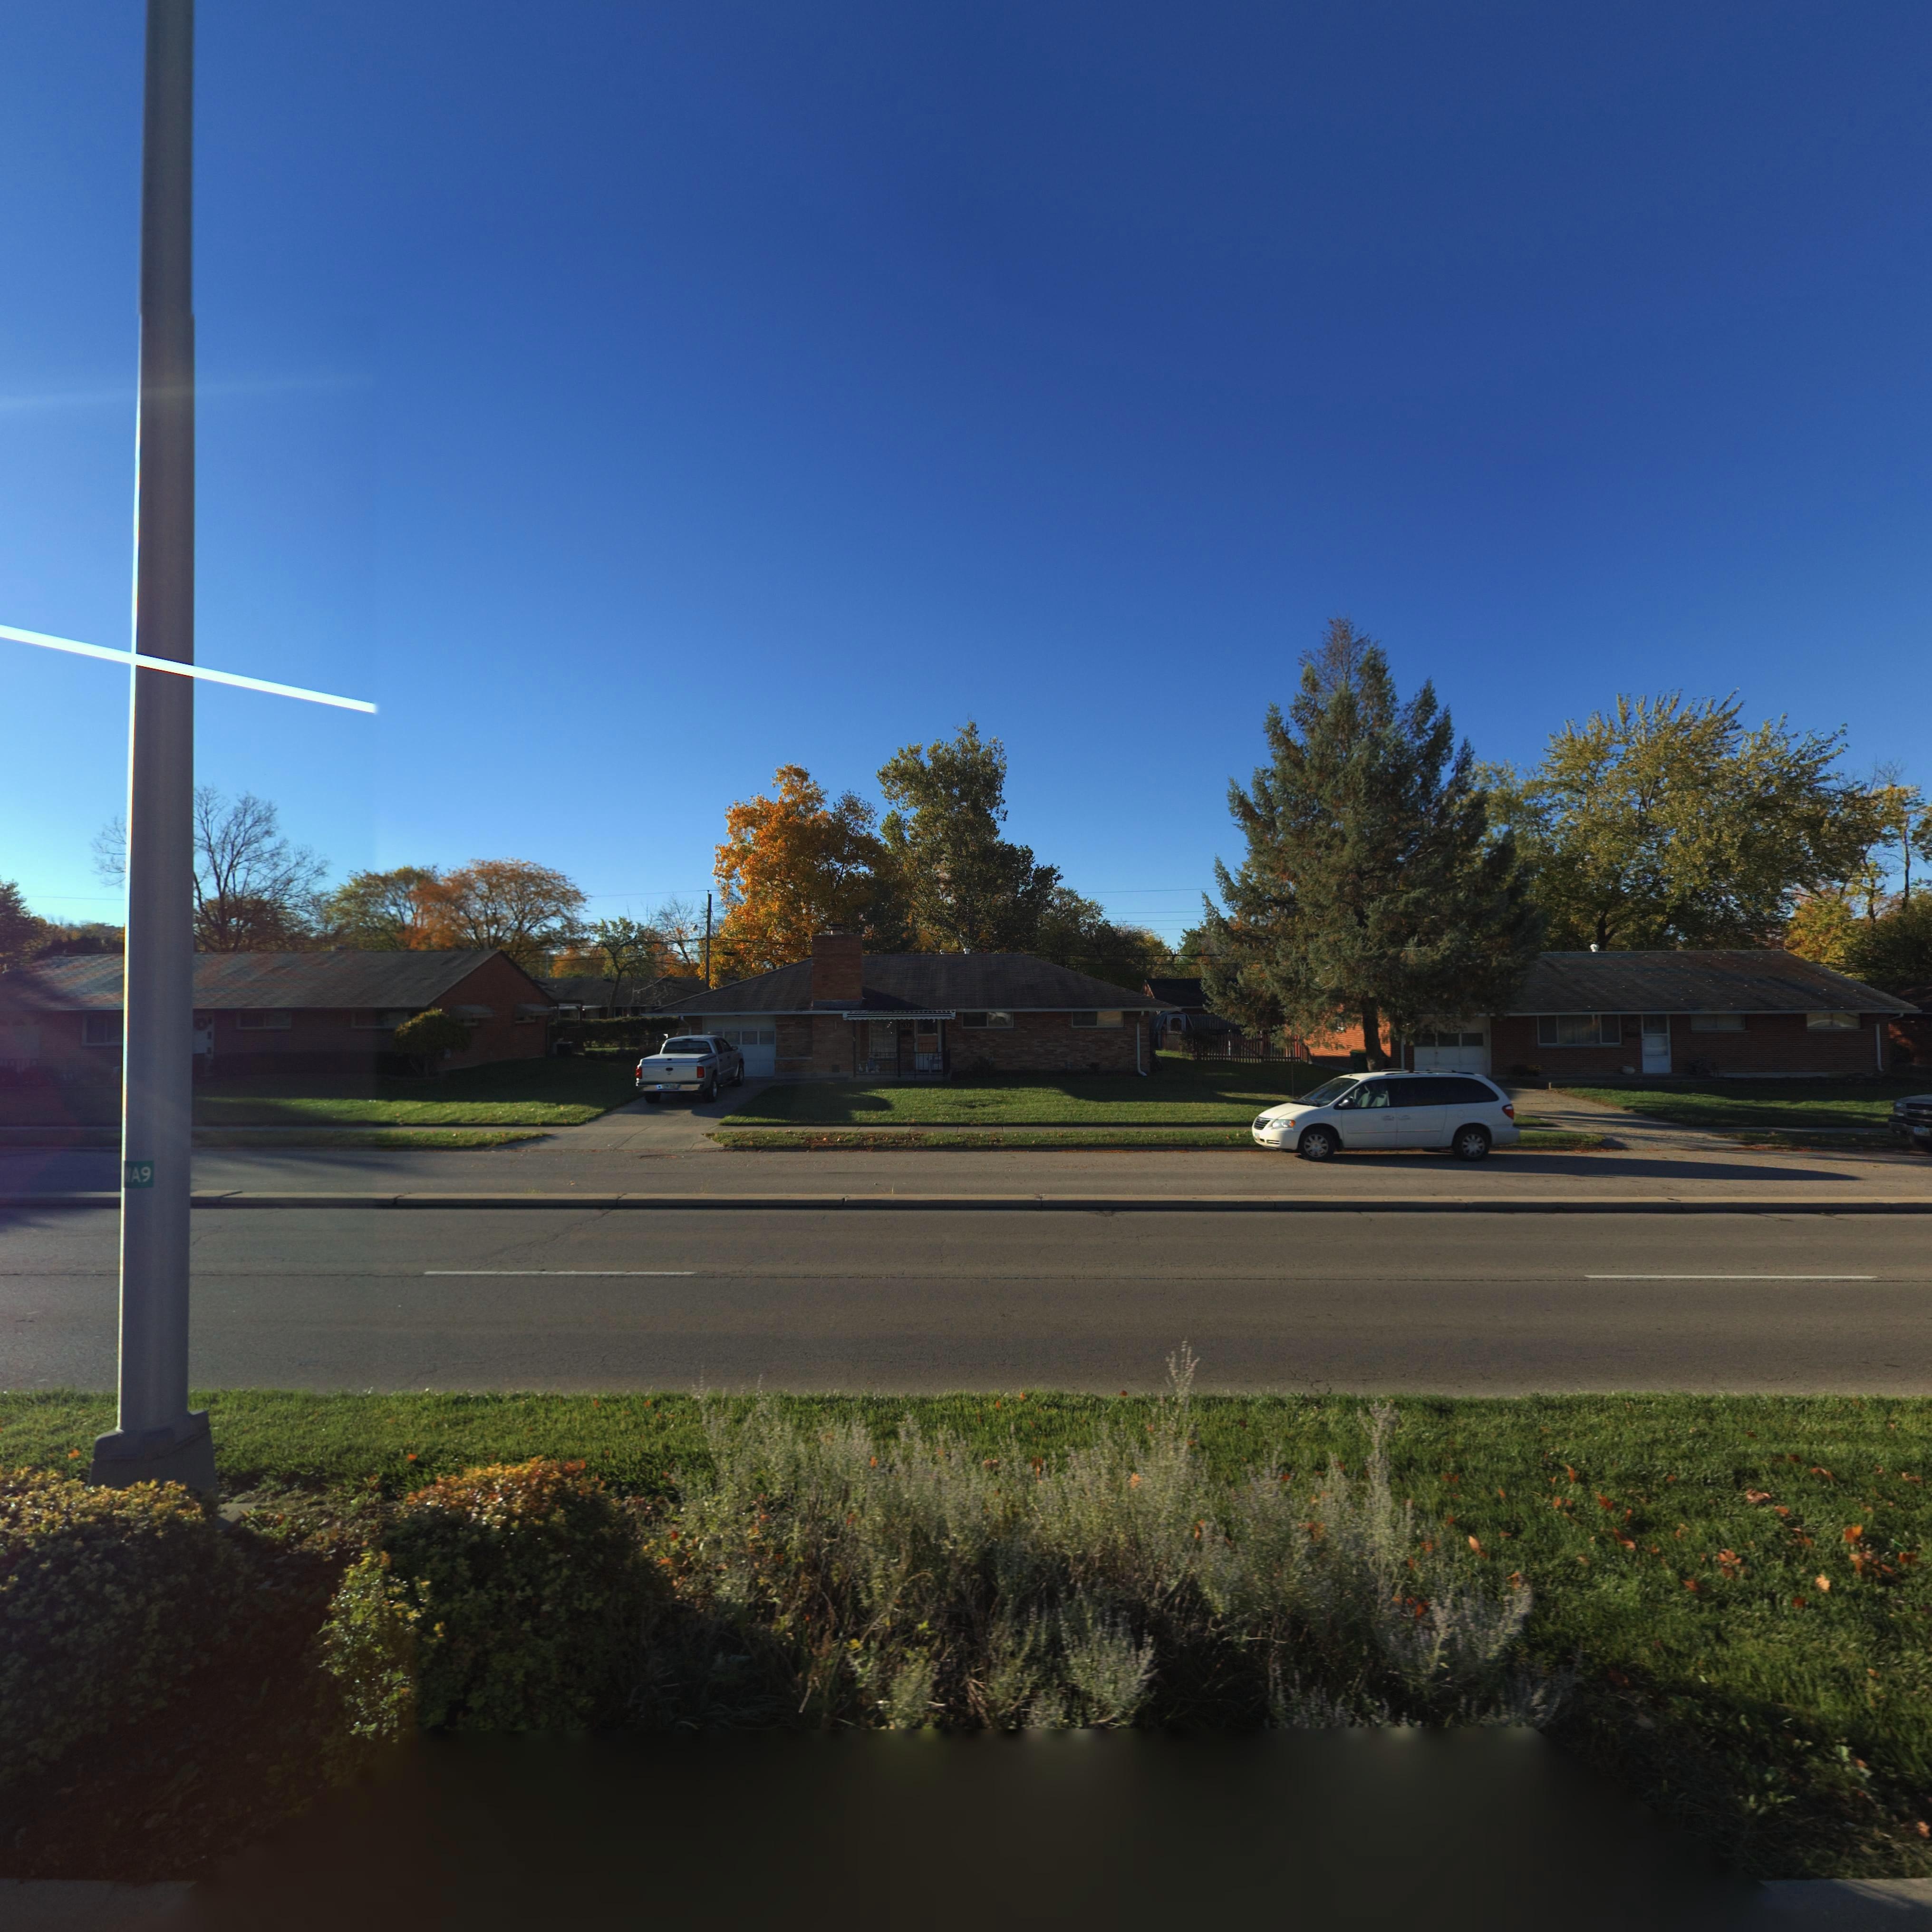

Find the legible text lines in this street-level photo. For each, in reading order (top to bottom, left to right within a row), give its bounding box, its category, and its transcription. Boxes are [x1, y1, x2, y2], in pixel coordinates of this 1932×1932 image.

[904, 1023, 911, 1028] StreetNumber: 32
[131, 1166, 151, 1184] None: A9